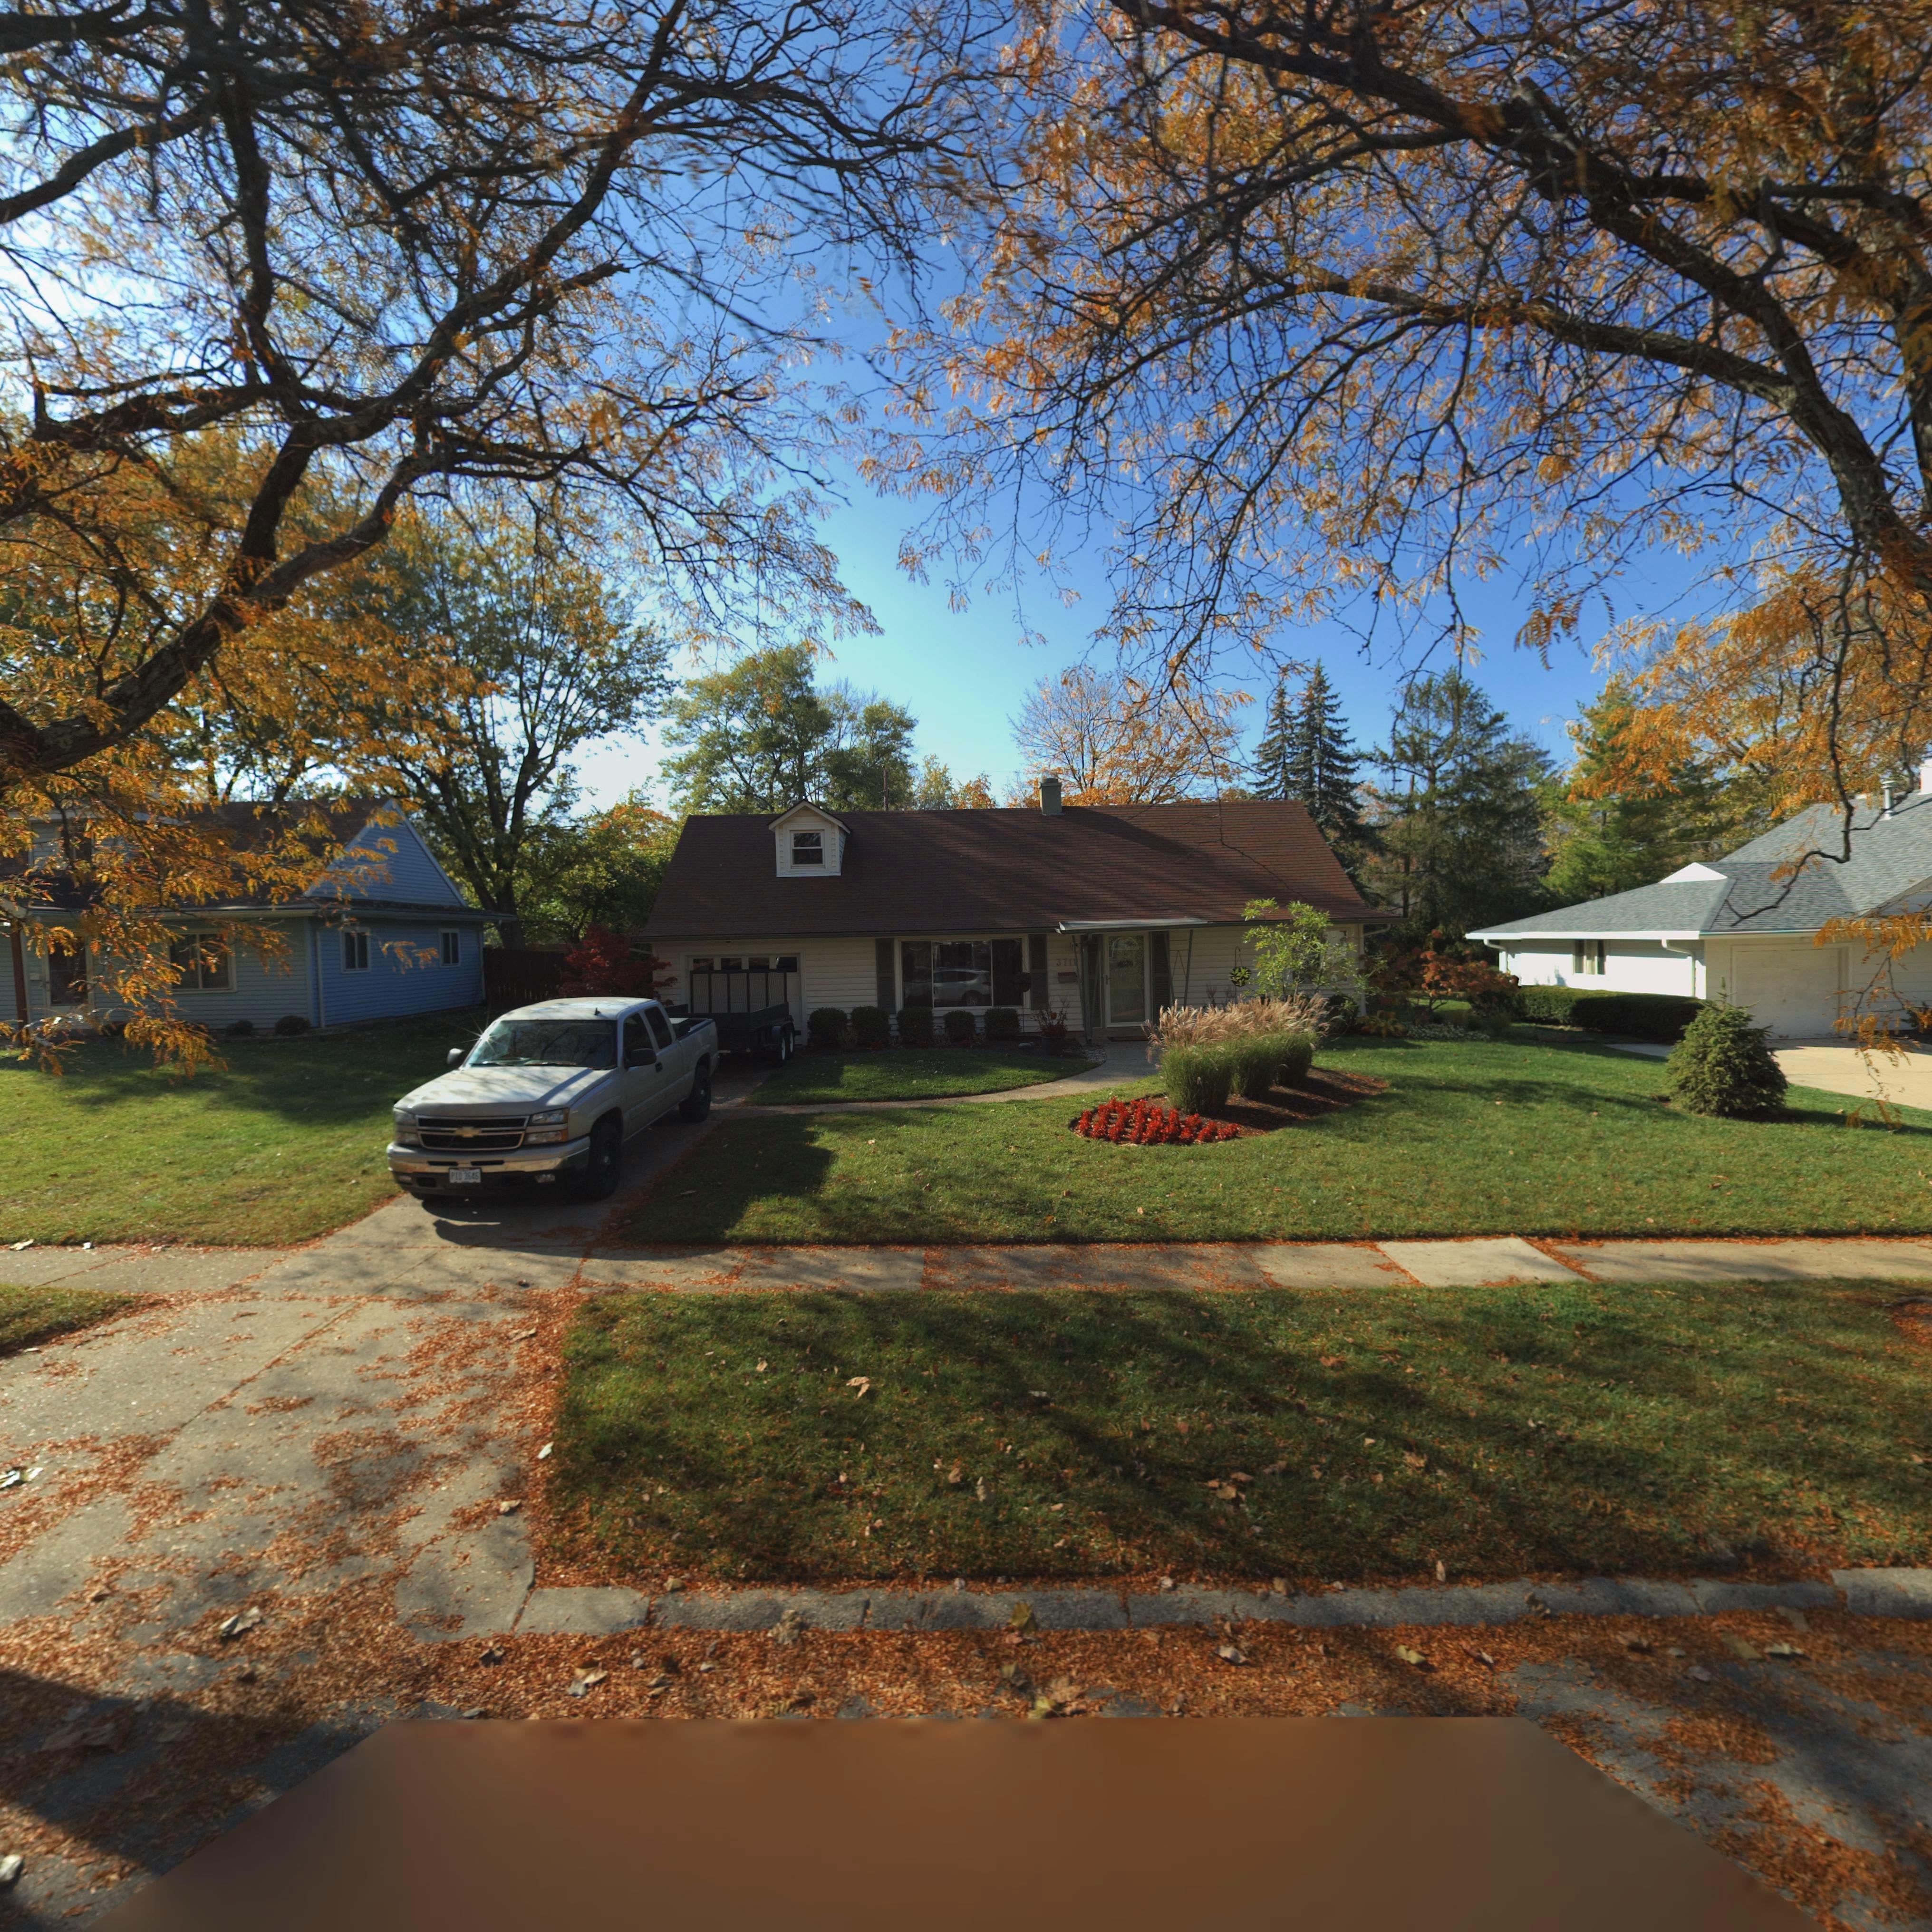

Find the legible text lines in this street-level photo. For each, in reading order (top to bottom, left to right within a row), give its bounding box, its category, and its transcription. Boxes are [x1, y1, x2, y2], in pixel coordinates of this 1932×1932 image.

[1055, 957, 1077, 967] StreetNumber: 3711
[450, 1171, 479, 1181] None: P*D*364*